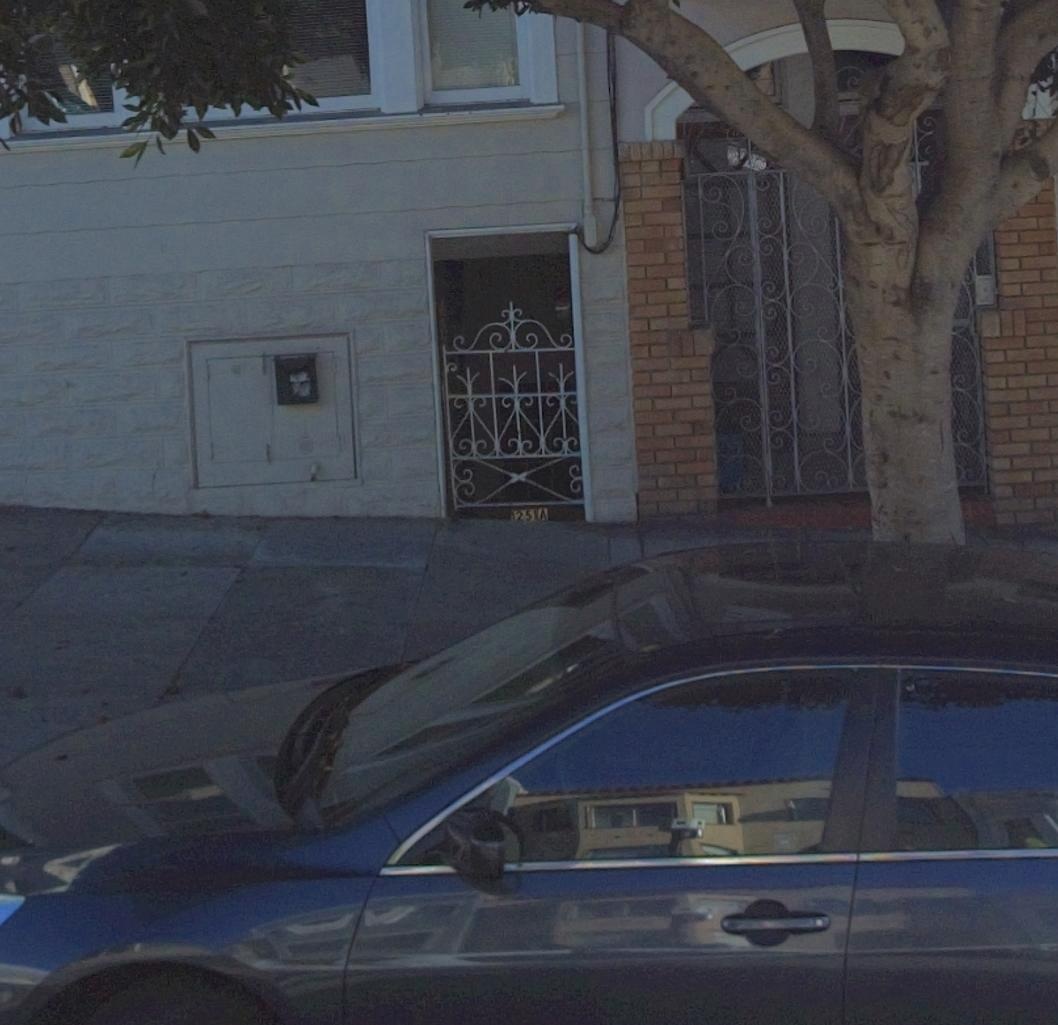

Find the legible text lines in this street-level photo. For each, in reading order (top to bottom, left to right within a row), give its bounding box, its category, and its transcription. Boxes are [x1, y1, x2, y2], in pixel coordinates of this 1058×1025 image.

[510, 507, 549, 522] StreetNumber: 1251A